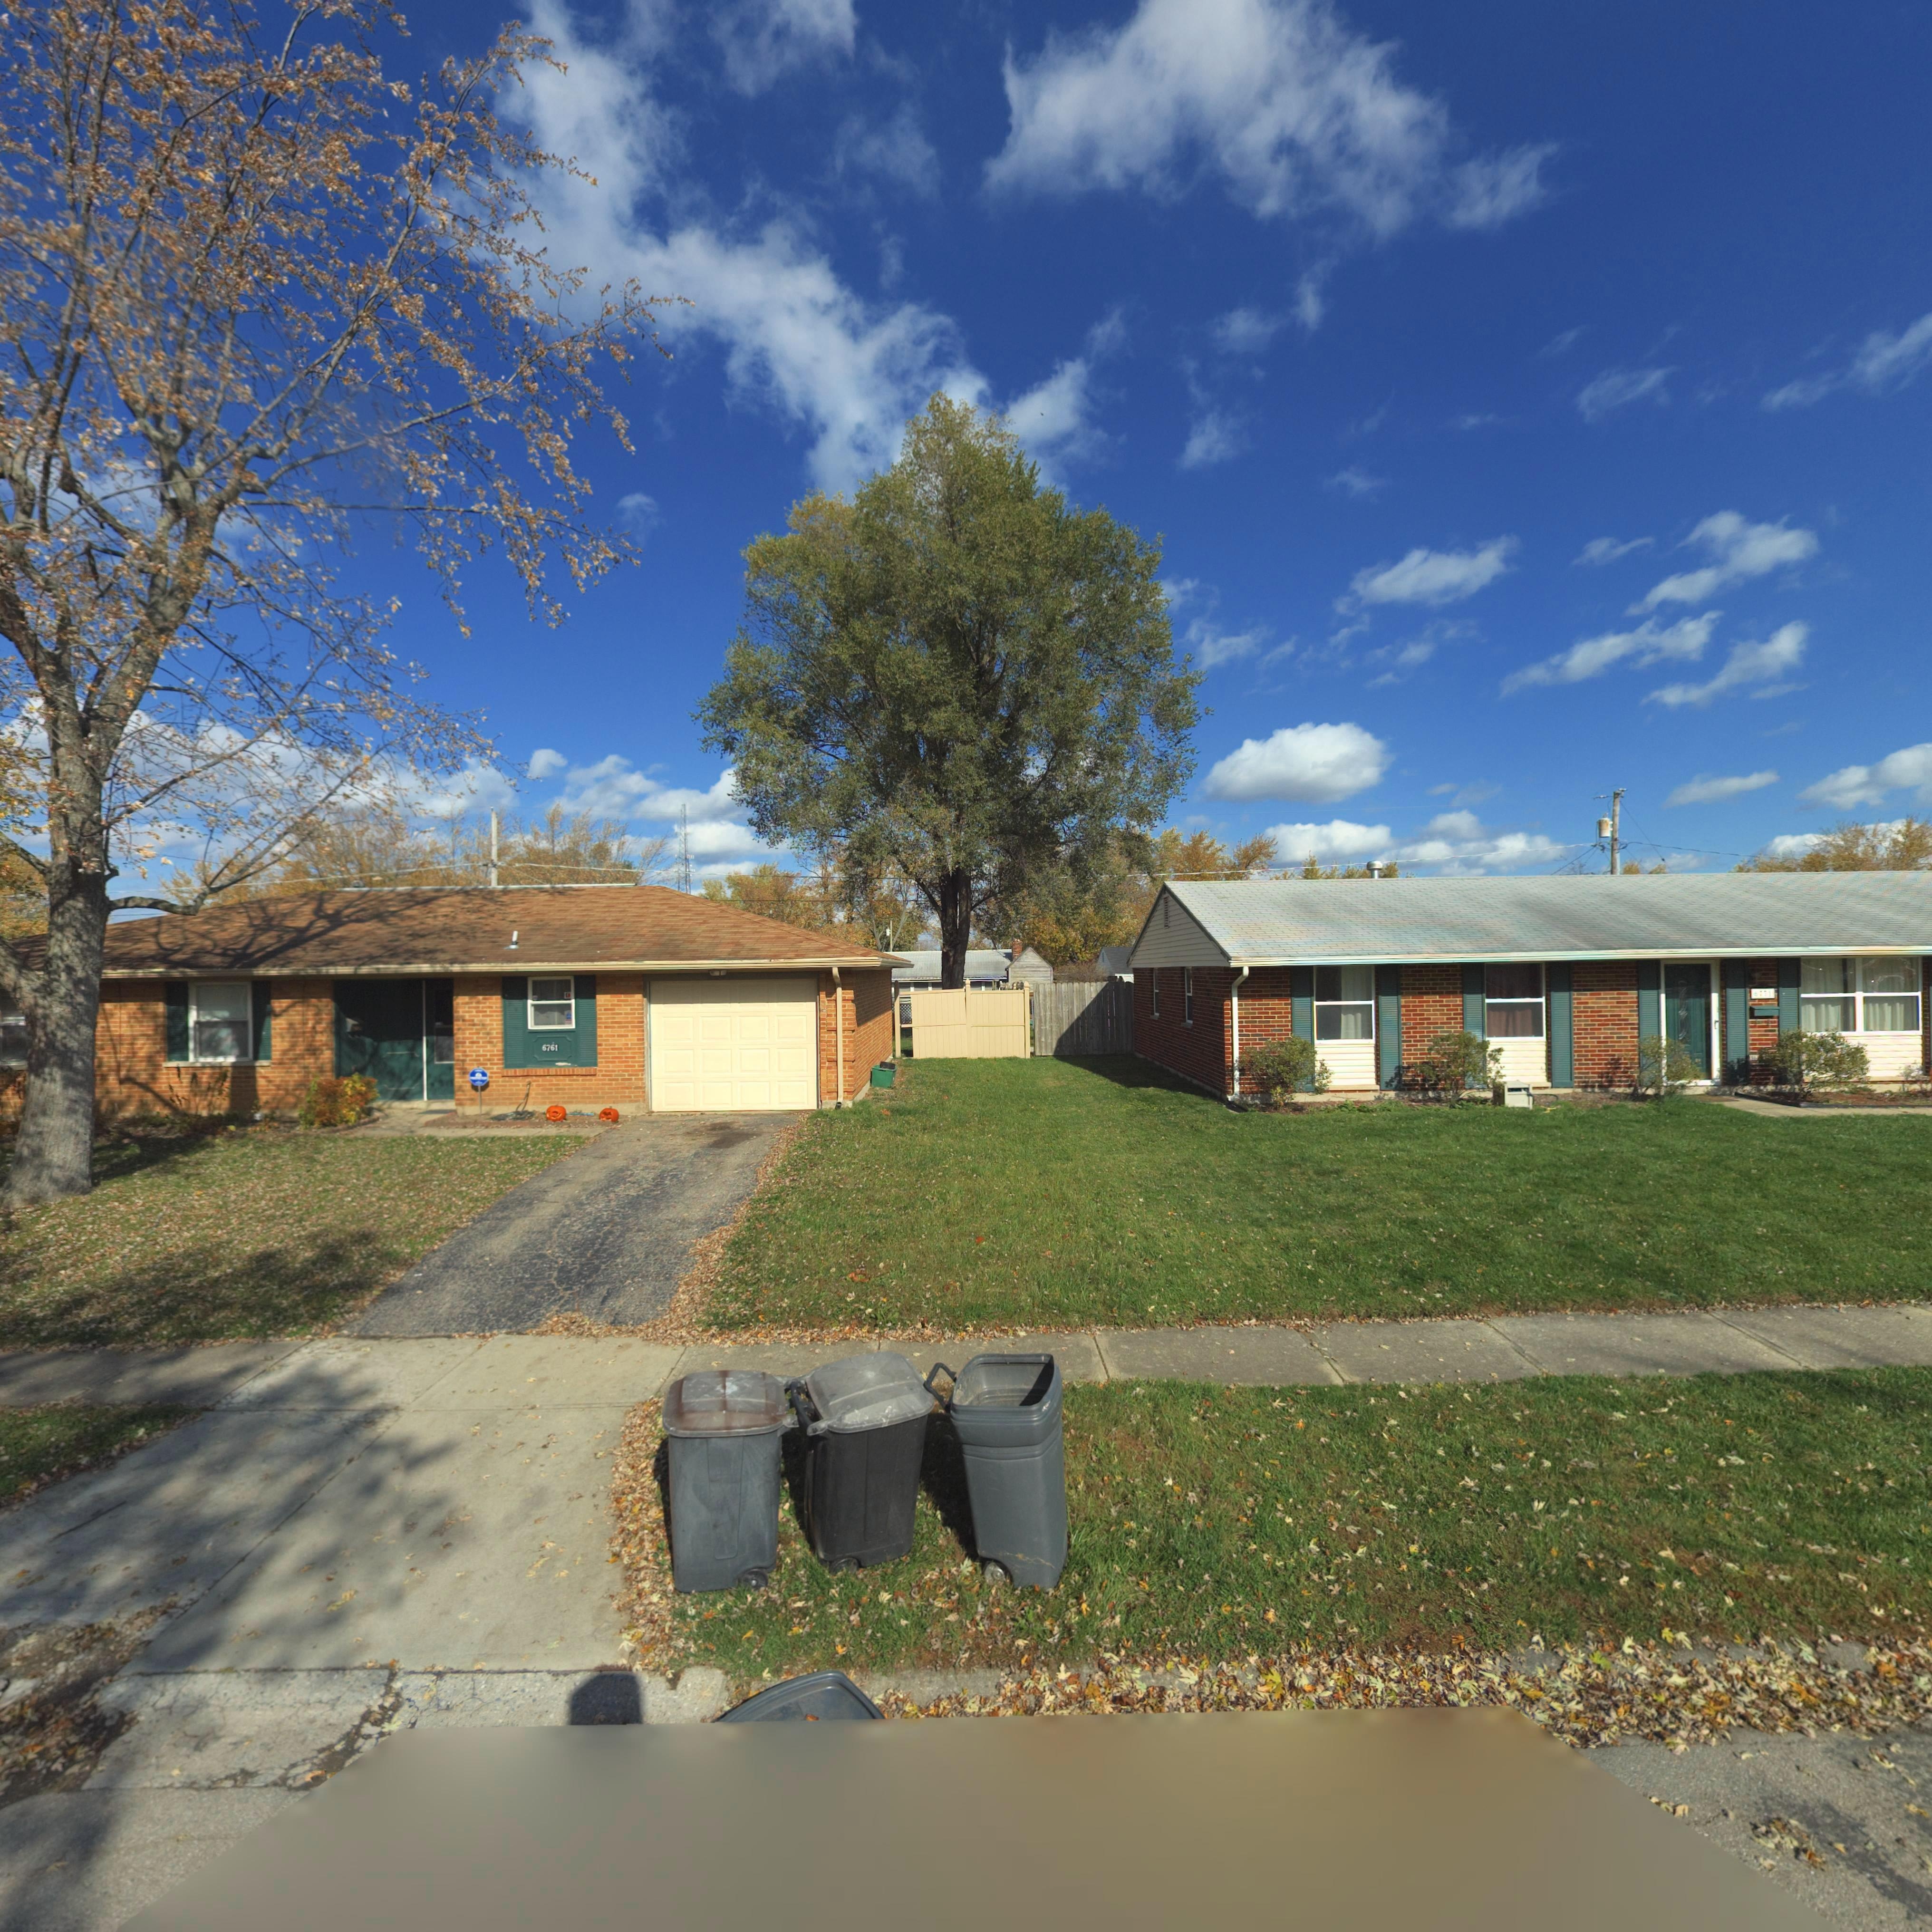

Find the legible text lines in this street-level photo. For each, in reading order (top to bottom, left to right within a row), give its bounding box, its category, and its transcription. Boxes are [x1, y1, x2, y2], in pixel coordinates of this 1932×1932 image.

[1754, 990, 1772, 997] StreetNumber: 6771
[542, 1044, 559, 1052] StreetNumber: 6761